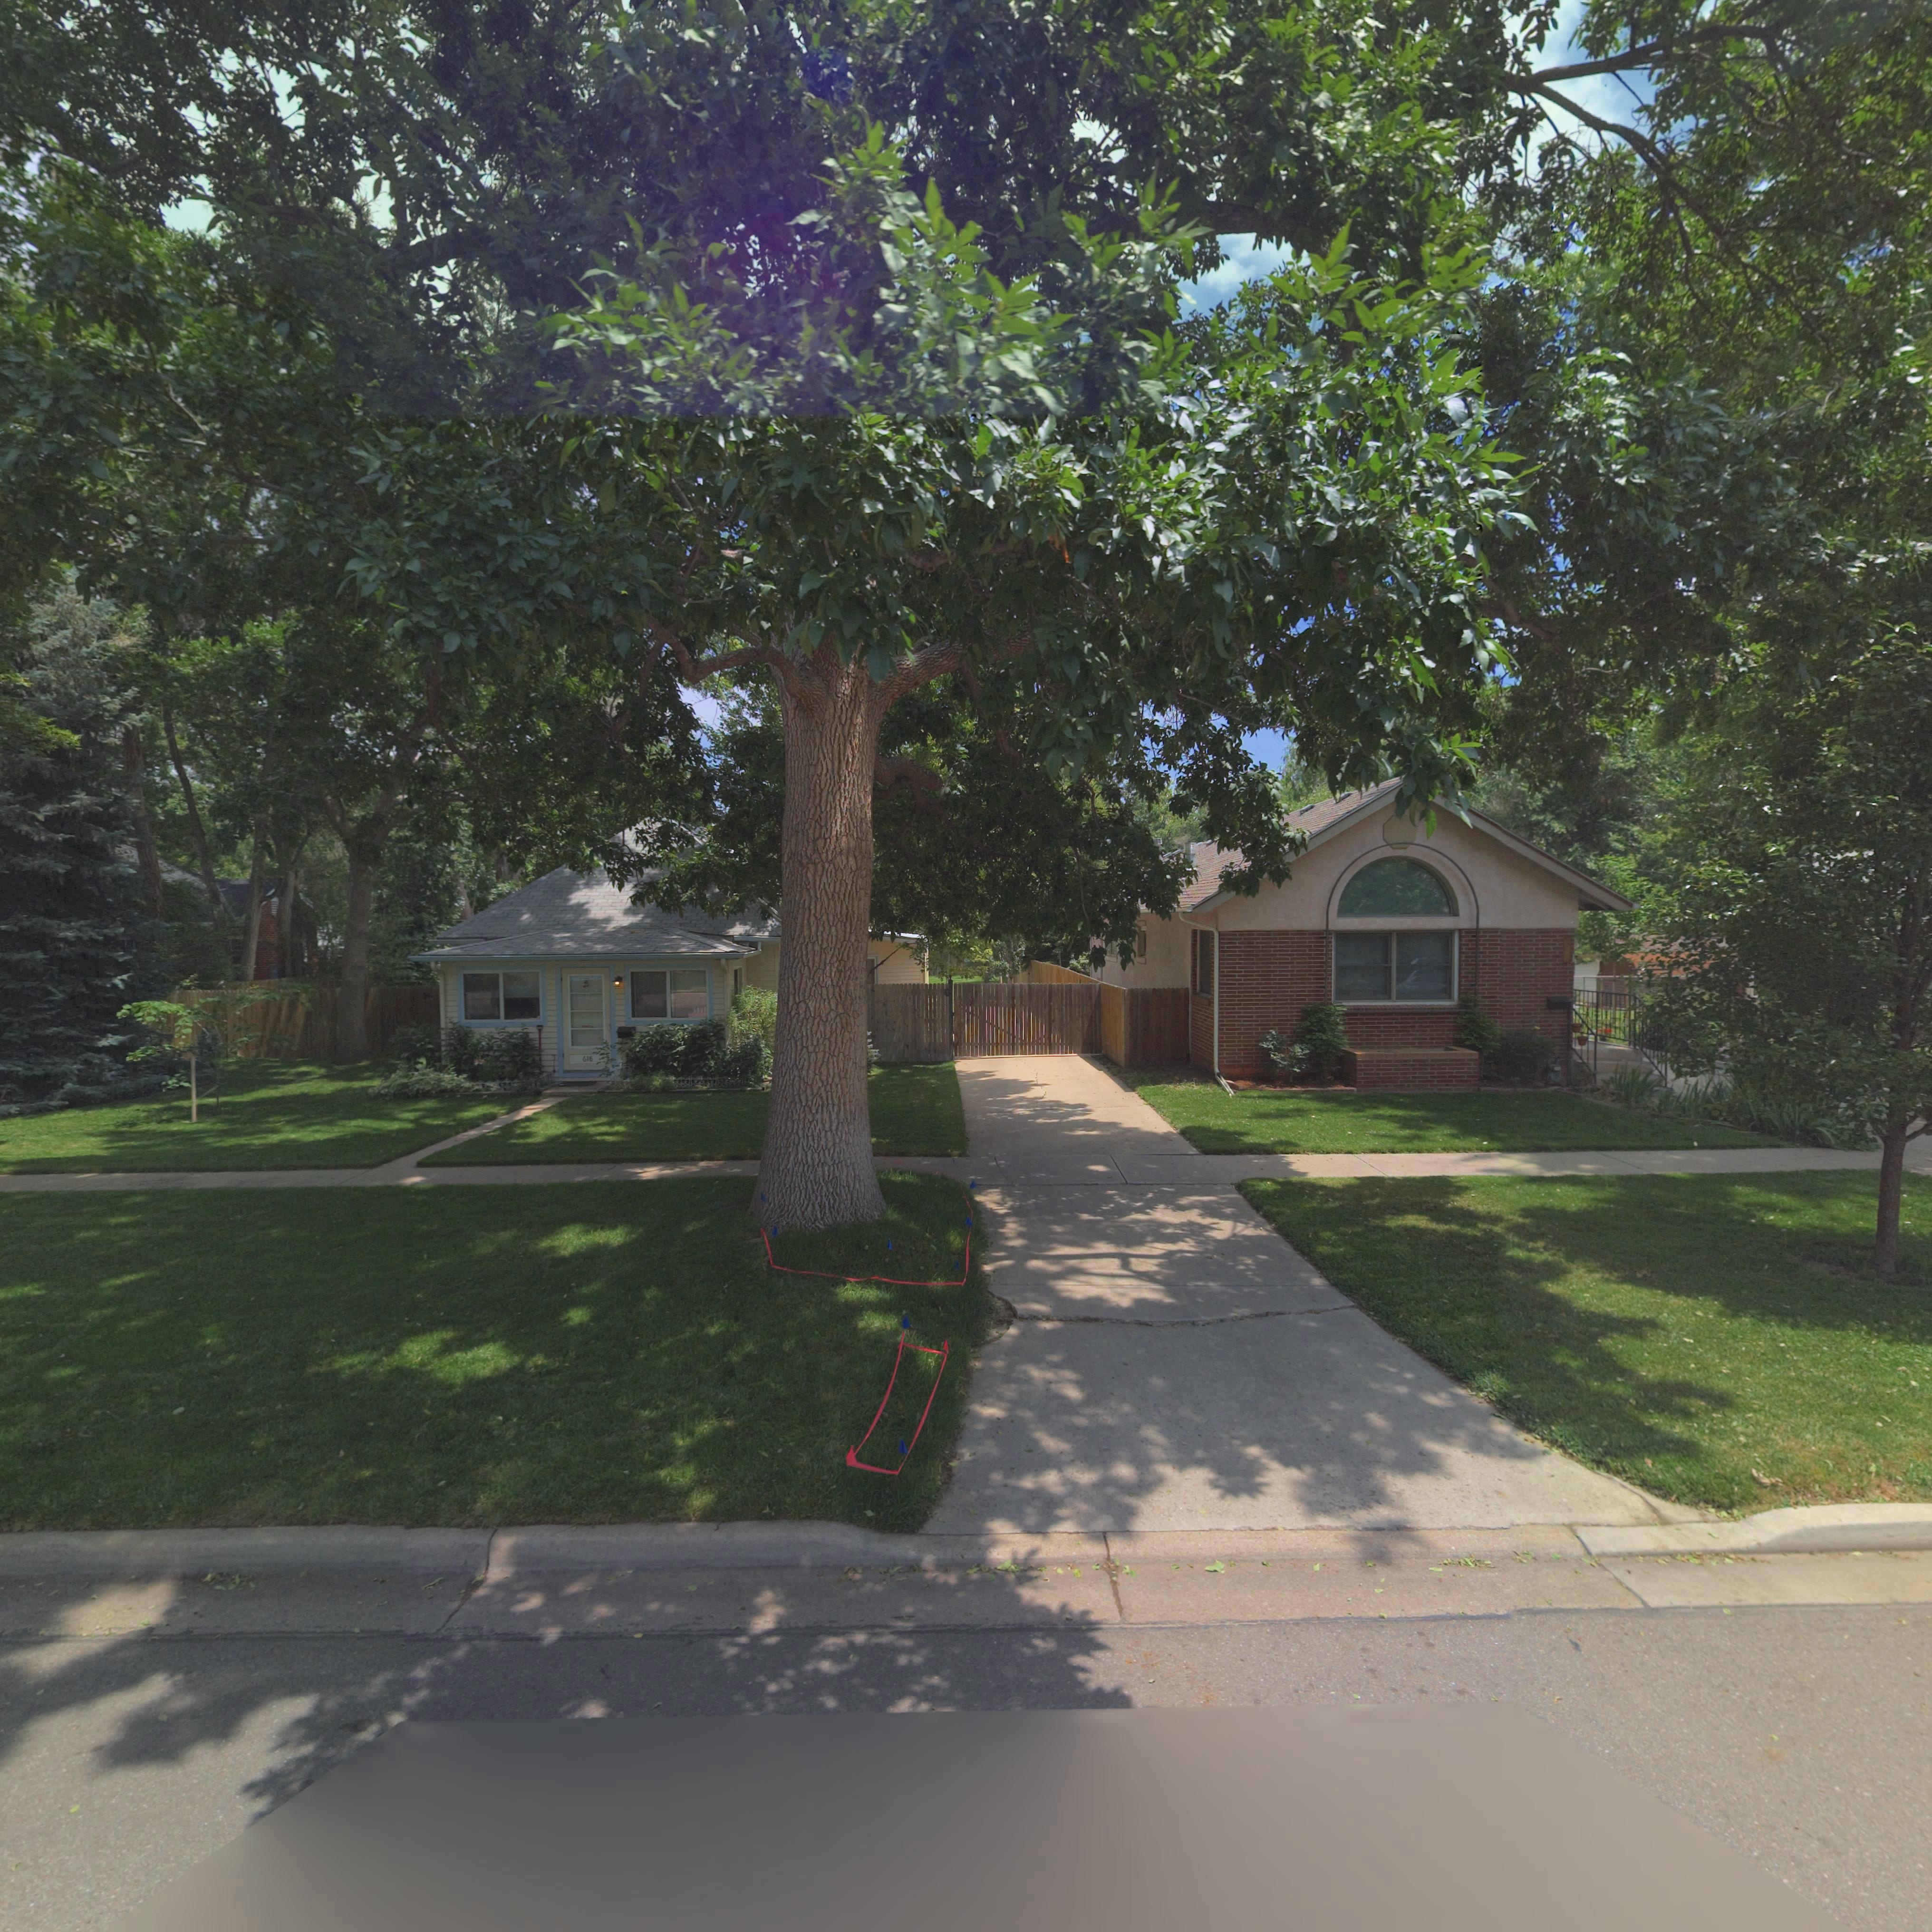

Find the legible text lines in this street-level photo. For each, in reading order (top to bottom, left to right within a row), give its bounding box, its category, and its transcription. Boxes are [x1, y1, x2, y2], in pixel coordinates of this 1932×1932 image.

[582, 1055, 593, 1062] StreetNumber: 618